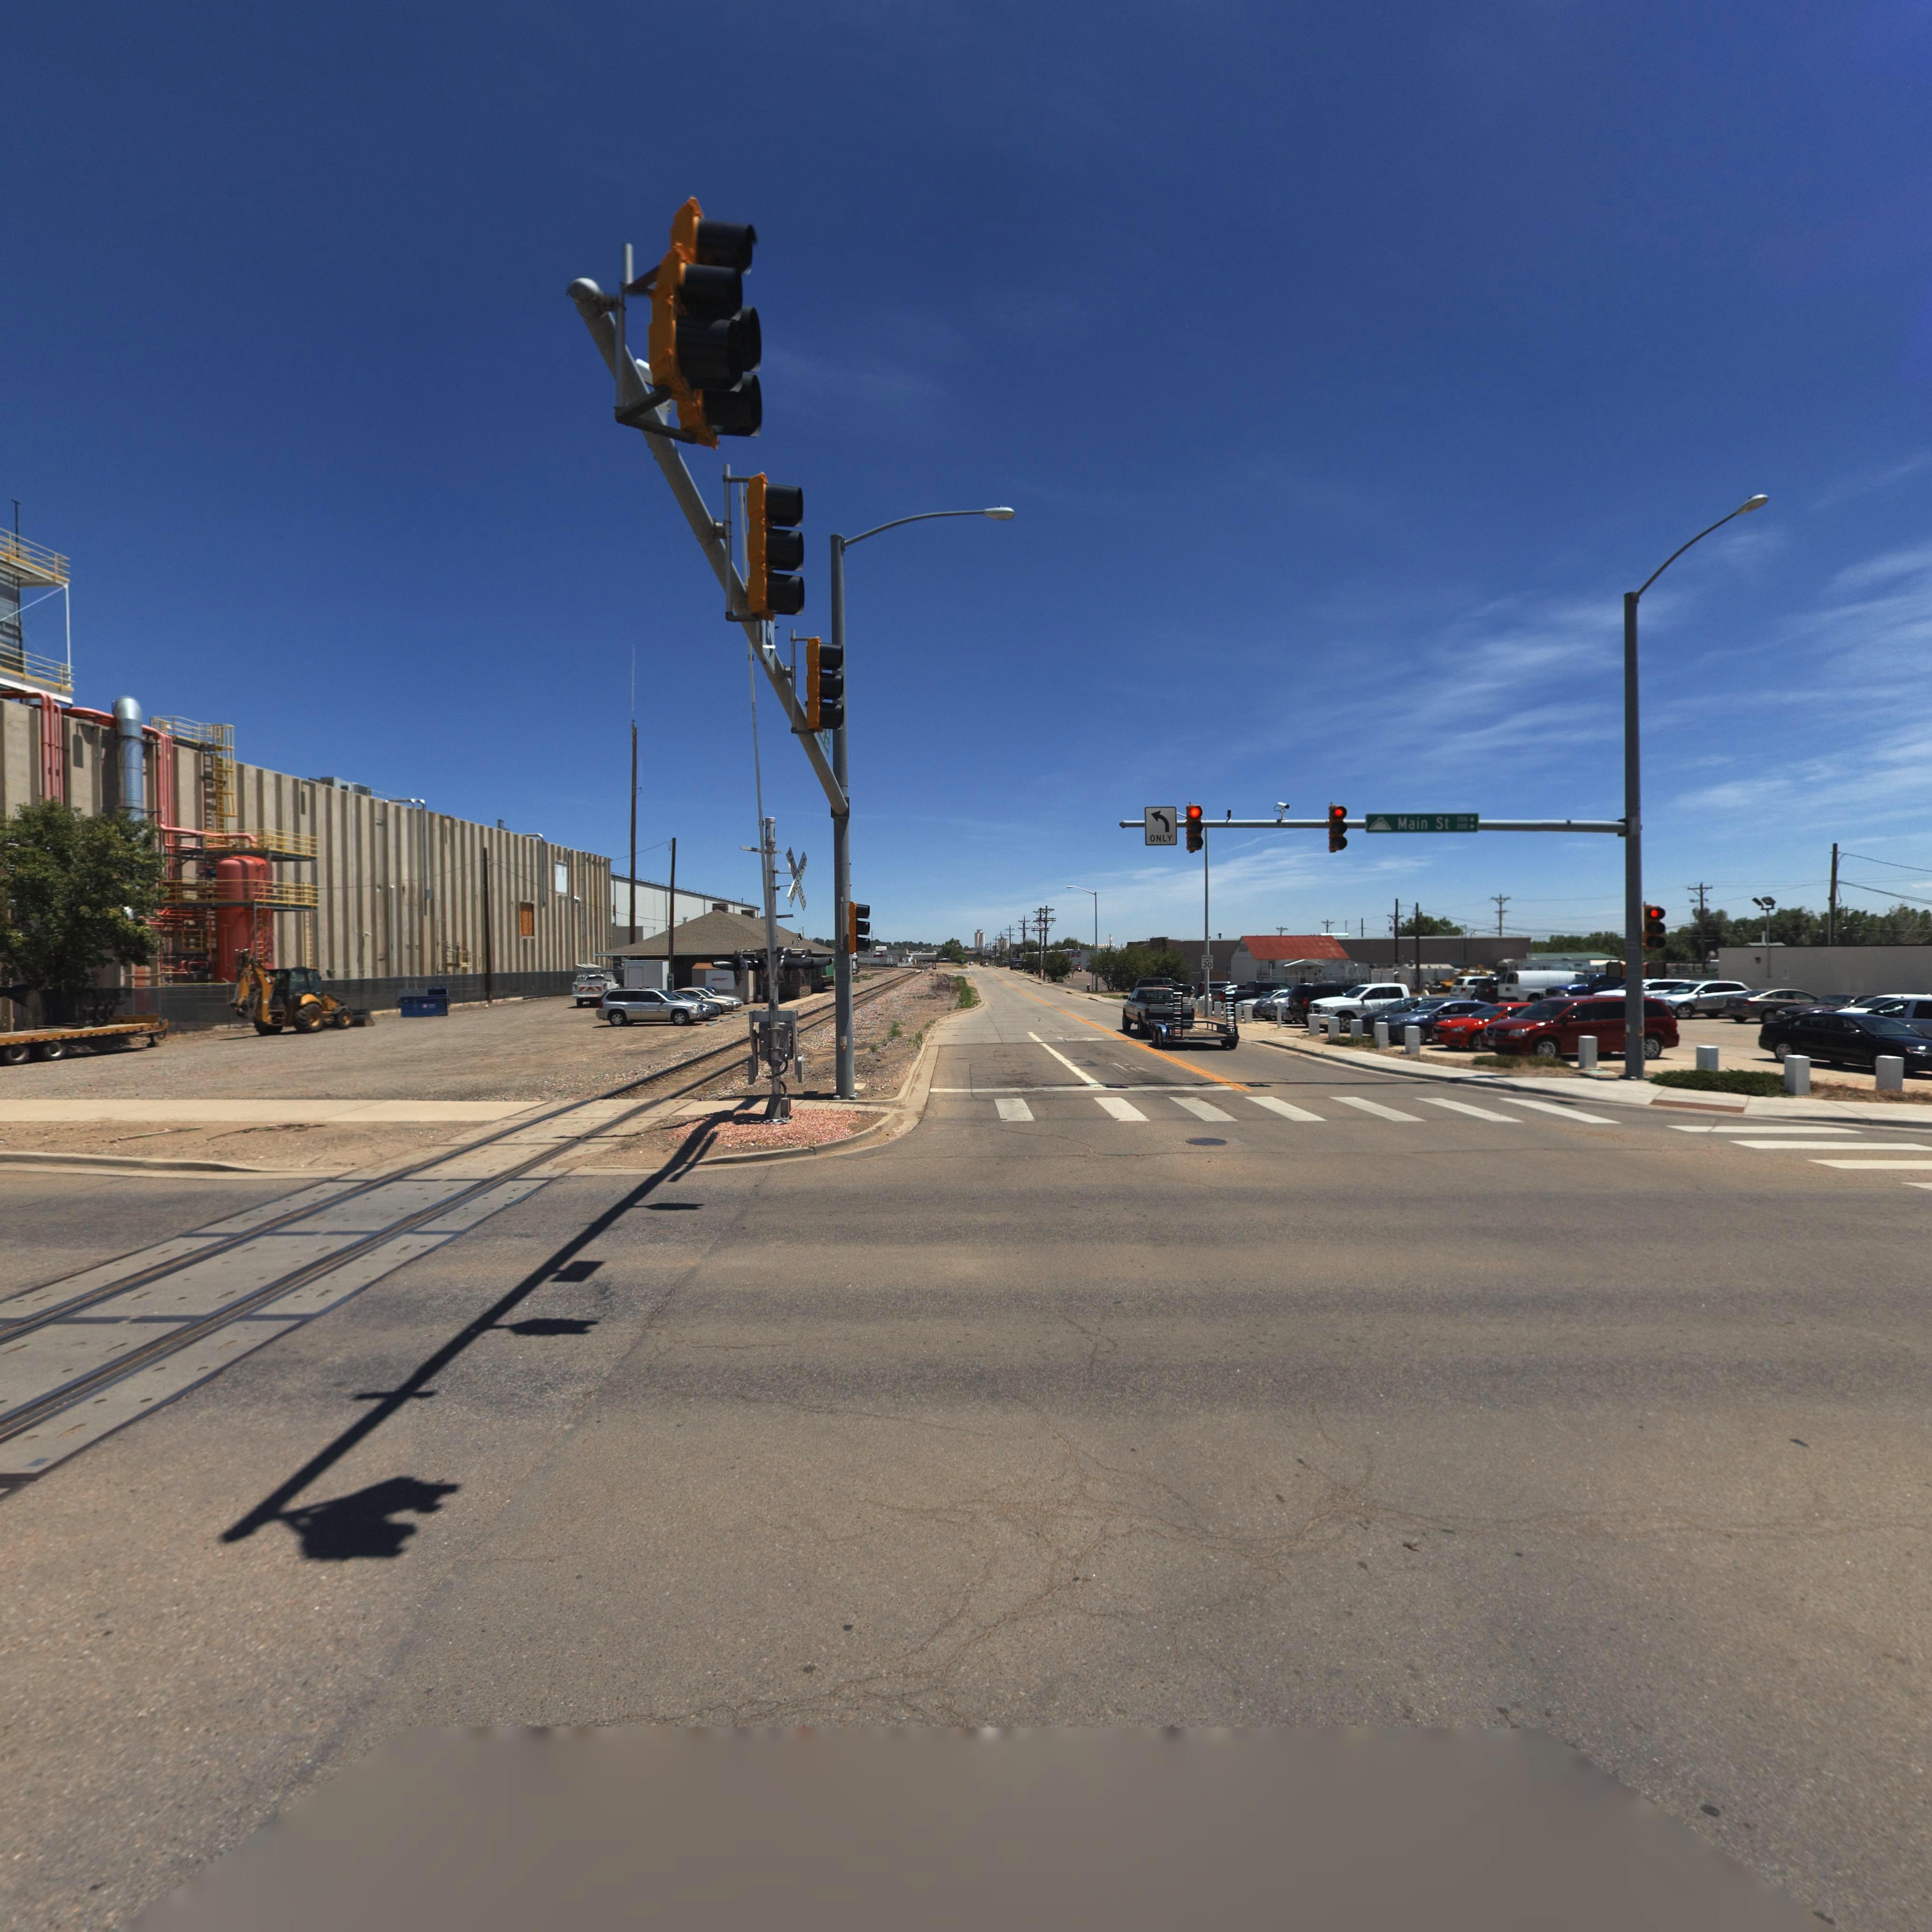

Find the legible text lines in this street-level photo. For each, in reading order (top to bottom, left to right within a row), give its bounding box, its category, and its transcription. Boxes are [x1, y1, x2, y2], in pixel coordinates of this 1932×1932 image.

[1456, 815, 1468, 822] StreetNumberRange: 500
[1396, 816, 1450, 831] StreetName: Main St
[1454, 822, 1475, 830] StreetNumberRange: *00->